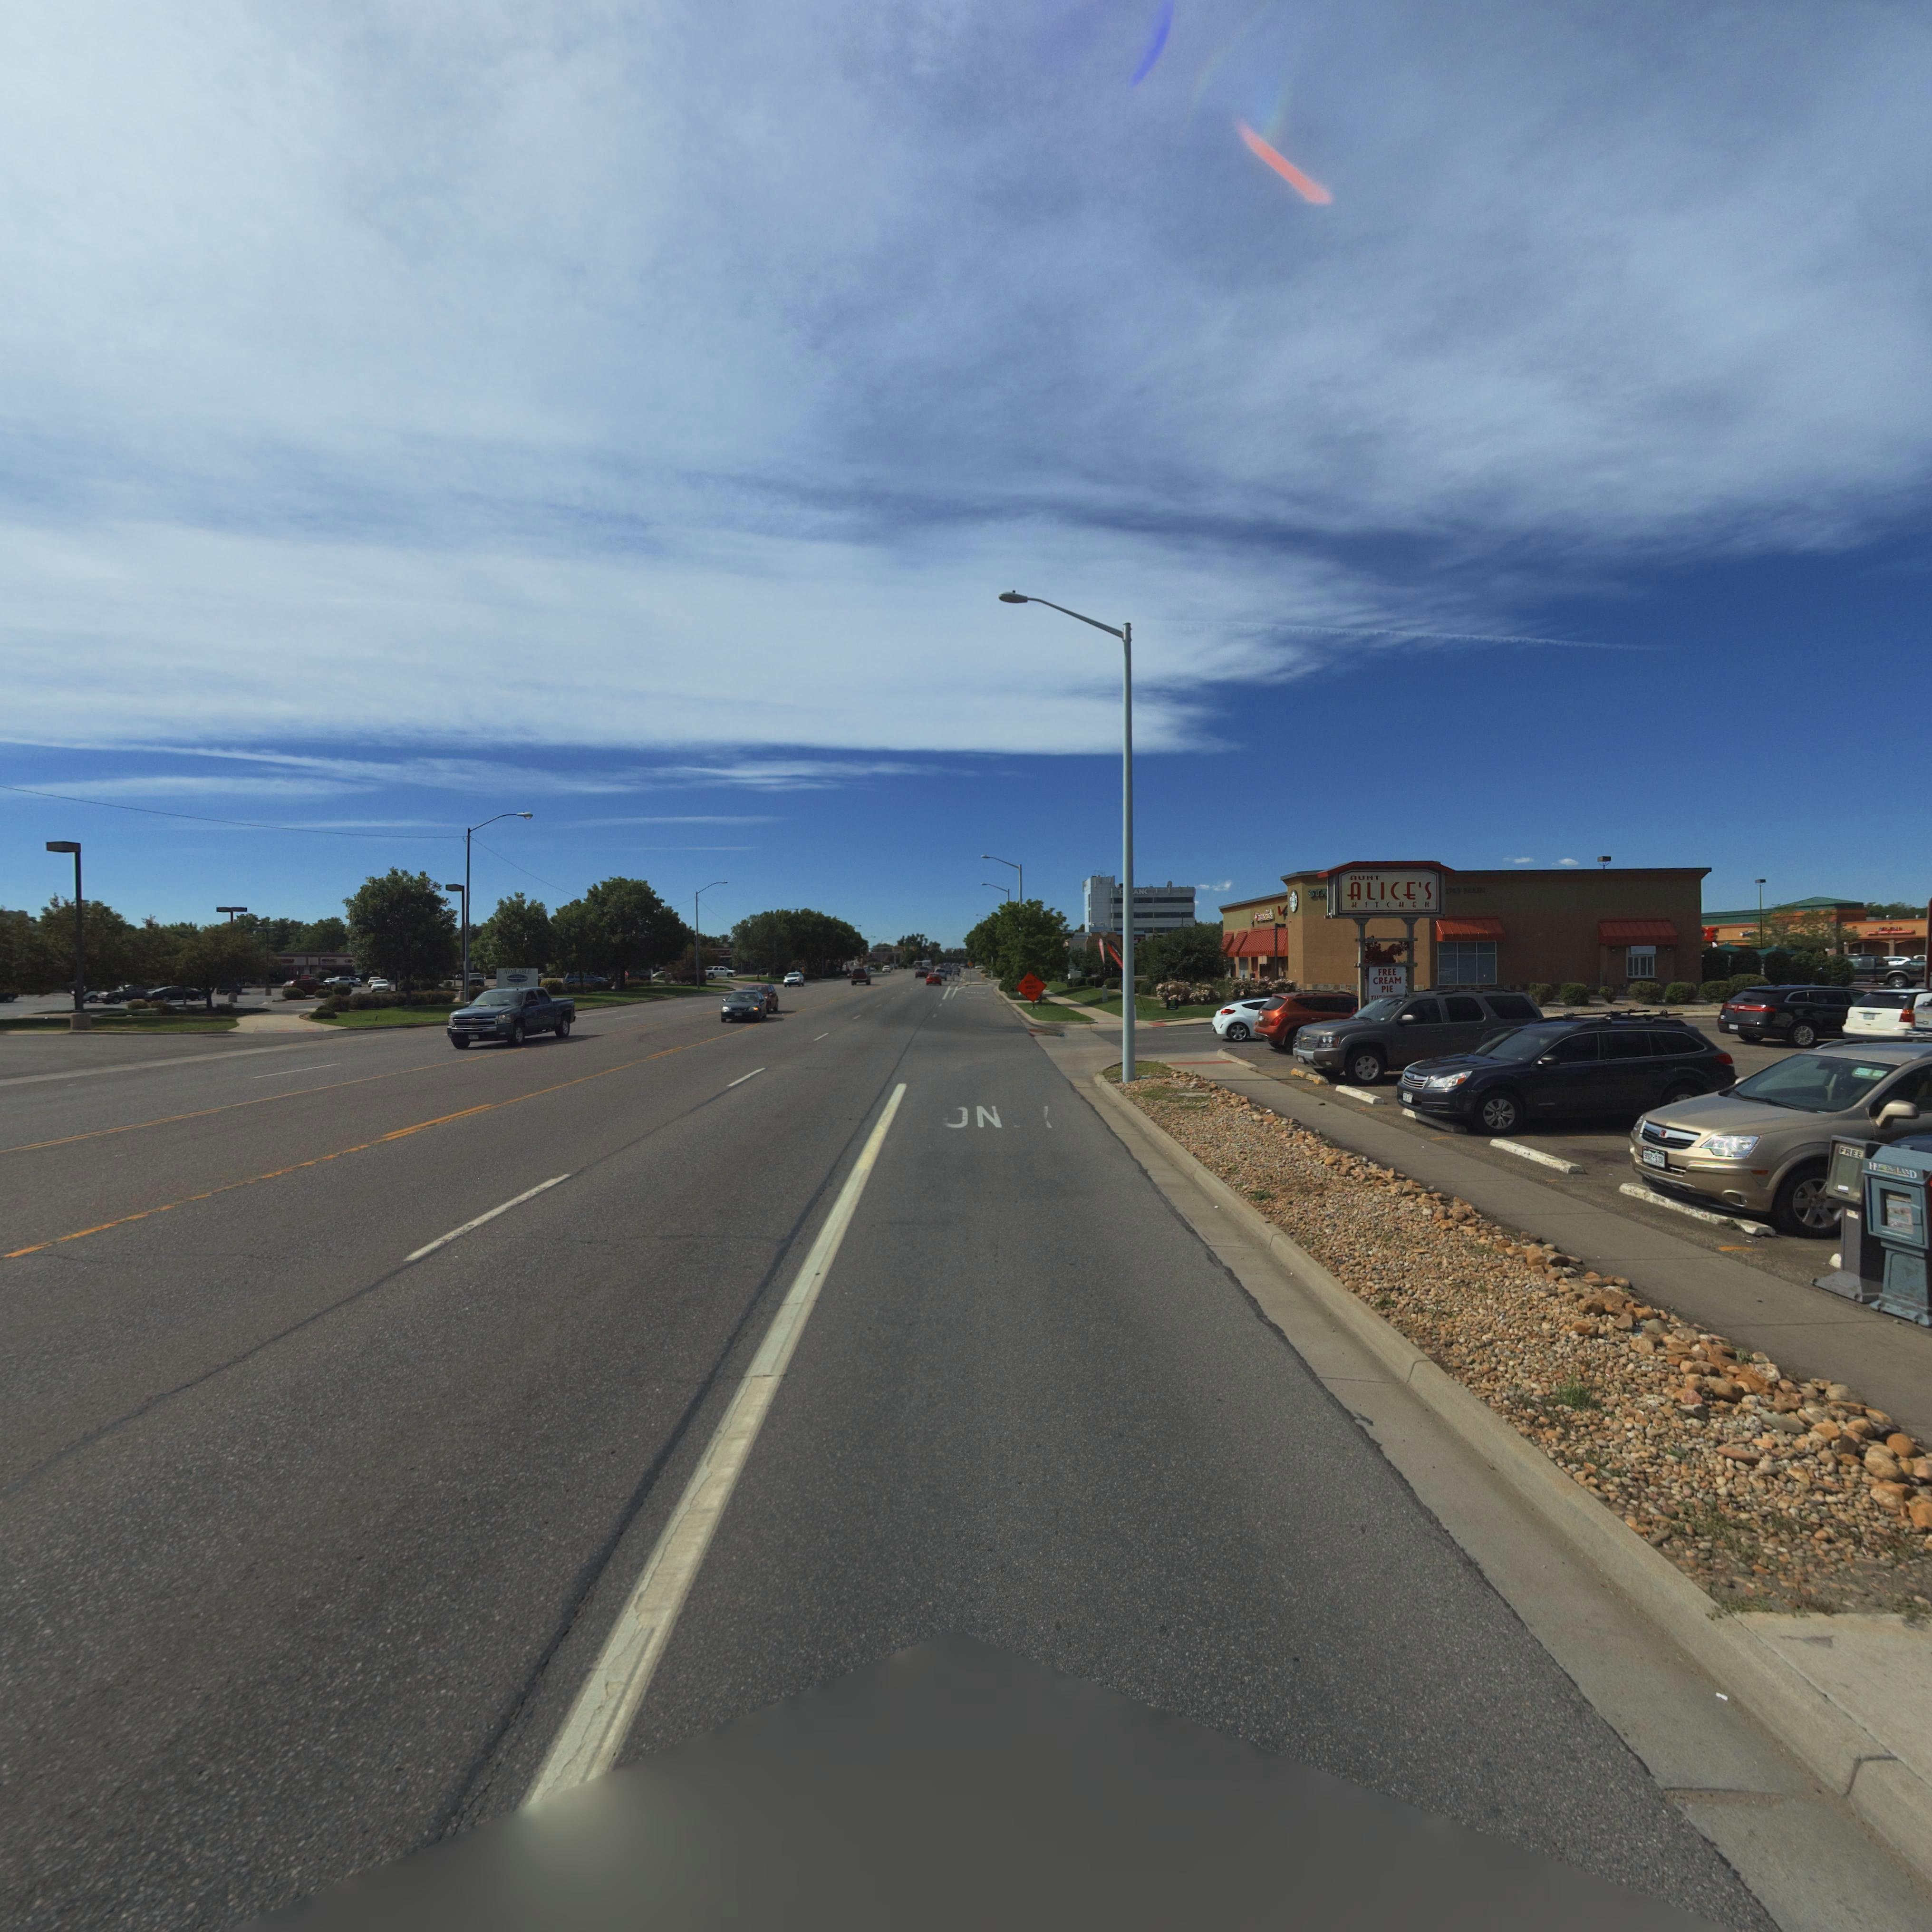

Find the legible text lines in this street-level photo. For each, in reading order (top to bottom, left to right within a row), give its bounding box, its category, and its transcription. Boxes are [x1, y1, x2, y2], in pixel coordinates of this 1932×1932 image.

[1348, 875, 1380, 880] BusinessName: AUNT
[1117, 889, 1148, 895] BusinessName: 1***AN*
[1307, 888, 1327, 898] BusinessName: STA
[1346, 881, 1432, 900] BusinessName: ALICE'S
[1445, 887, 1461, 894] StreetNumber: 17*5
[1463, 887, 1486, 894] StreetName: MAIN
[1351, 901, 1429, 908] BusinessName: KITCHEN
[1276, 905, 1288, 916] BusinessName: V
[1704, 927, 1718, 941] BusinessName: E
[321, 958, 337, 962] BusinessName: **C